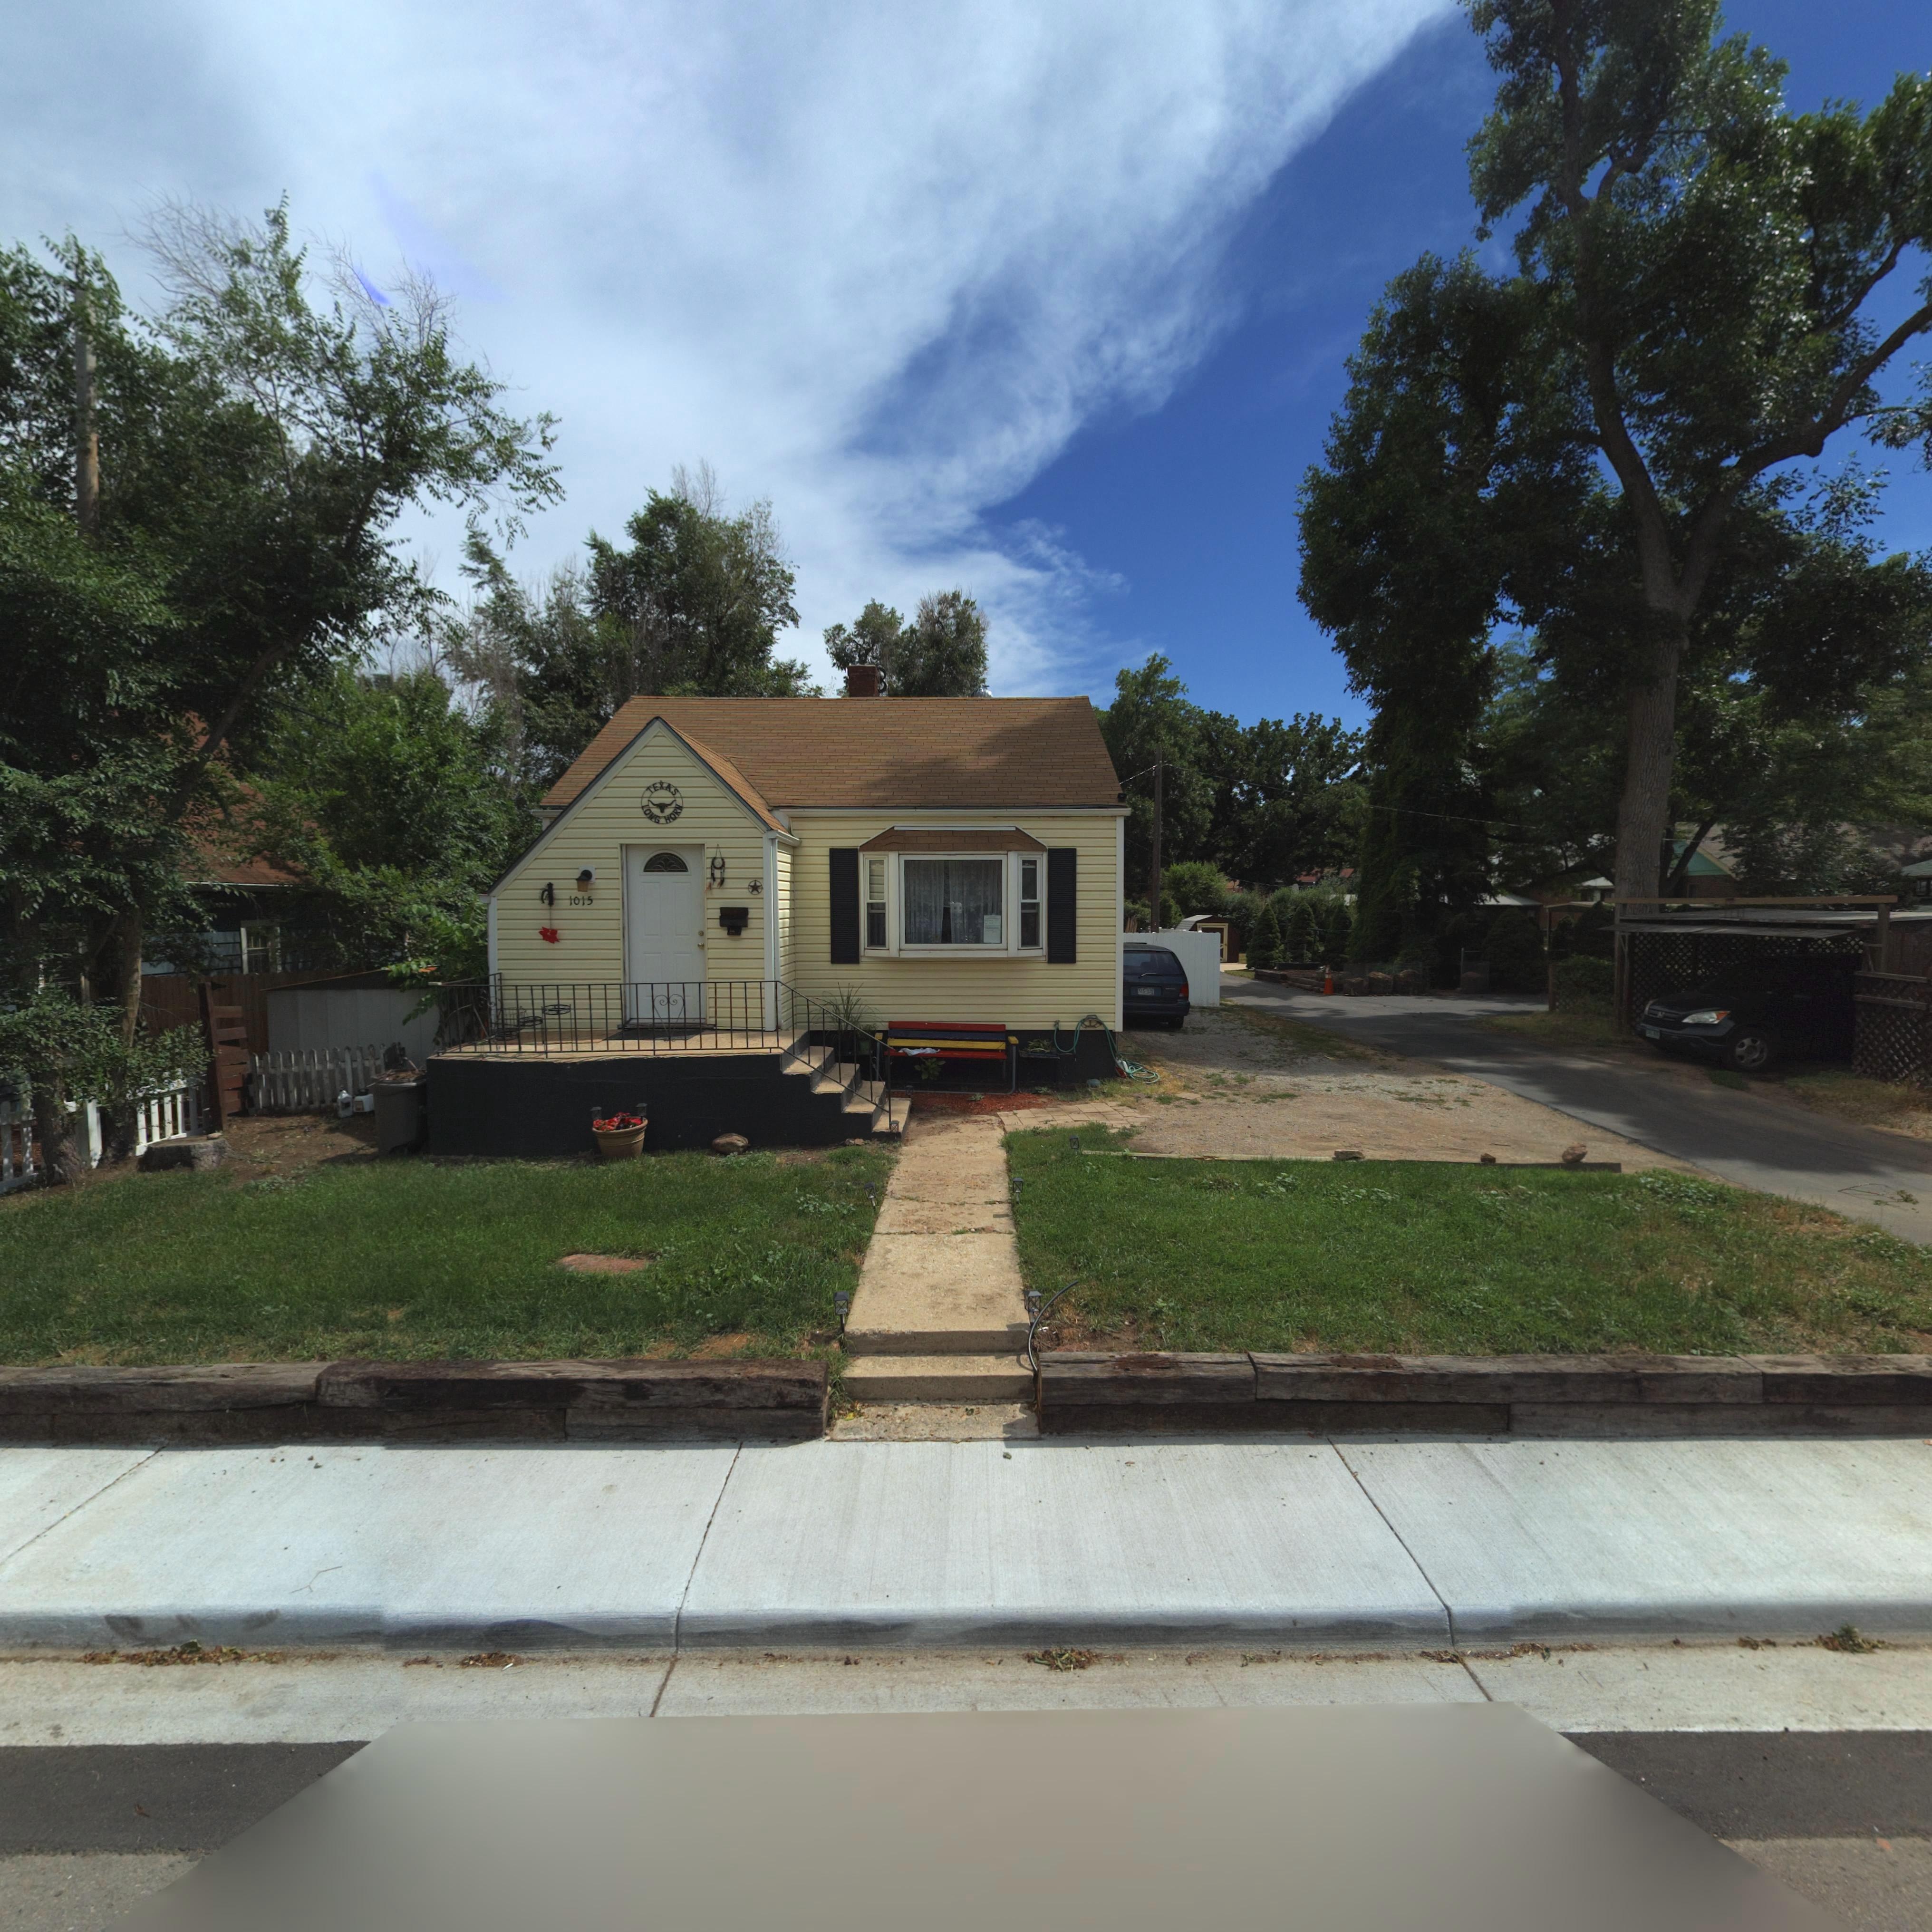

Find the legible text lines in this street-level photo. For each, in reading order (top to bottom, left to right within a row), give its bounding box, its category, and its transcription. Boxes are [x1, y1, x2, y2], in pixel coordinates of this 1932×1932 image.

[569, 895, 594, 906] StreetNumber: 1015